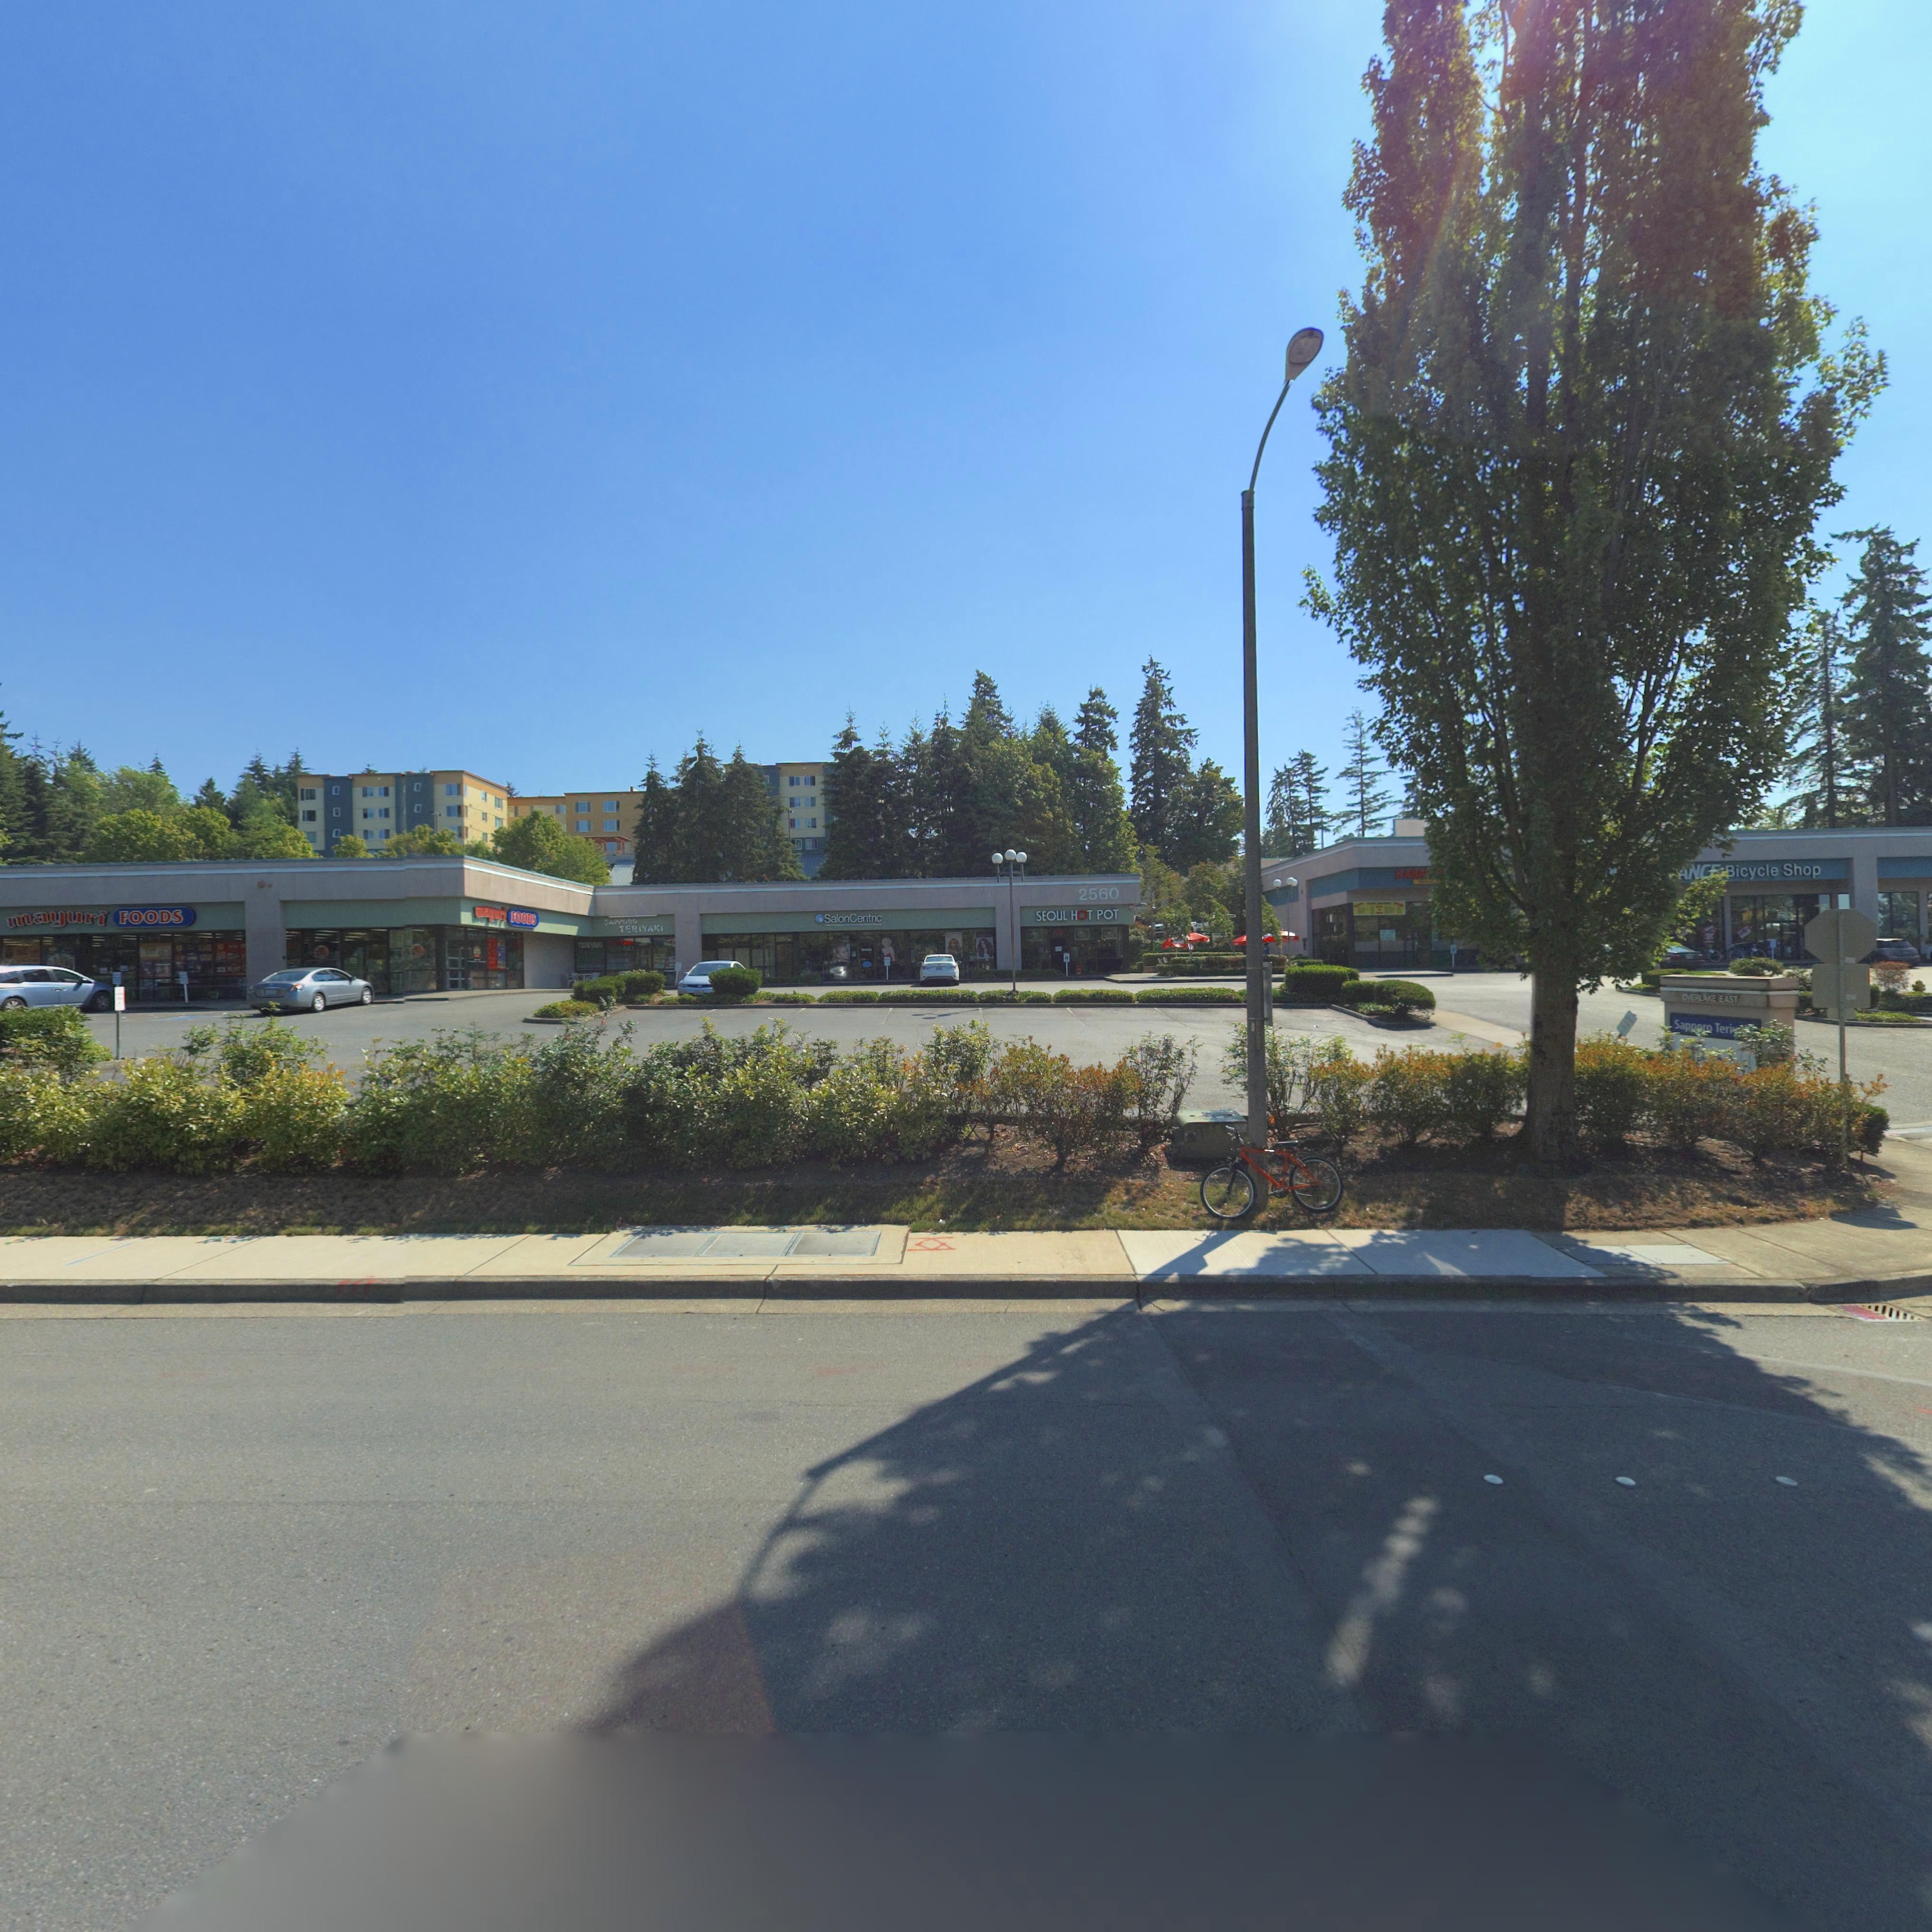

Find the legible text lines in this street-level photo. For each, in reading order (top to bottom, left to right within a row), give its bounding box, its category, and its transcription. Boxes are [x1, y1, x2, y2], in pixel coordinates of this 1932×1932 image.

[1735, 861, 1822, 881] BusinessName: icycle Shop
[1078, 887, 1119, 901] StreetNumber: 2560
[6, 910, 108, 929] BusinessName: mayuri
[118, 909, 184, 925] BusinessName: FOODS
[511, 910, 536, 925] BusinessName: FOODS
[604, 918, 637, 926] BusinessName: SAPPORO
[824, 913, 882, 924] BusinessName: SalonCentric
[1036, 909, 1119, 921] BusinessName: SEOUL HOT POT
[618, 925, 664, 933] BusinessName: TERIYAKI
[1674, 1019, 1691, 1032] BusinessName: Sap
[1713, 1023, 1730, 1034] BusinessName: Ter